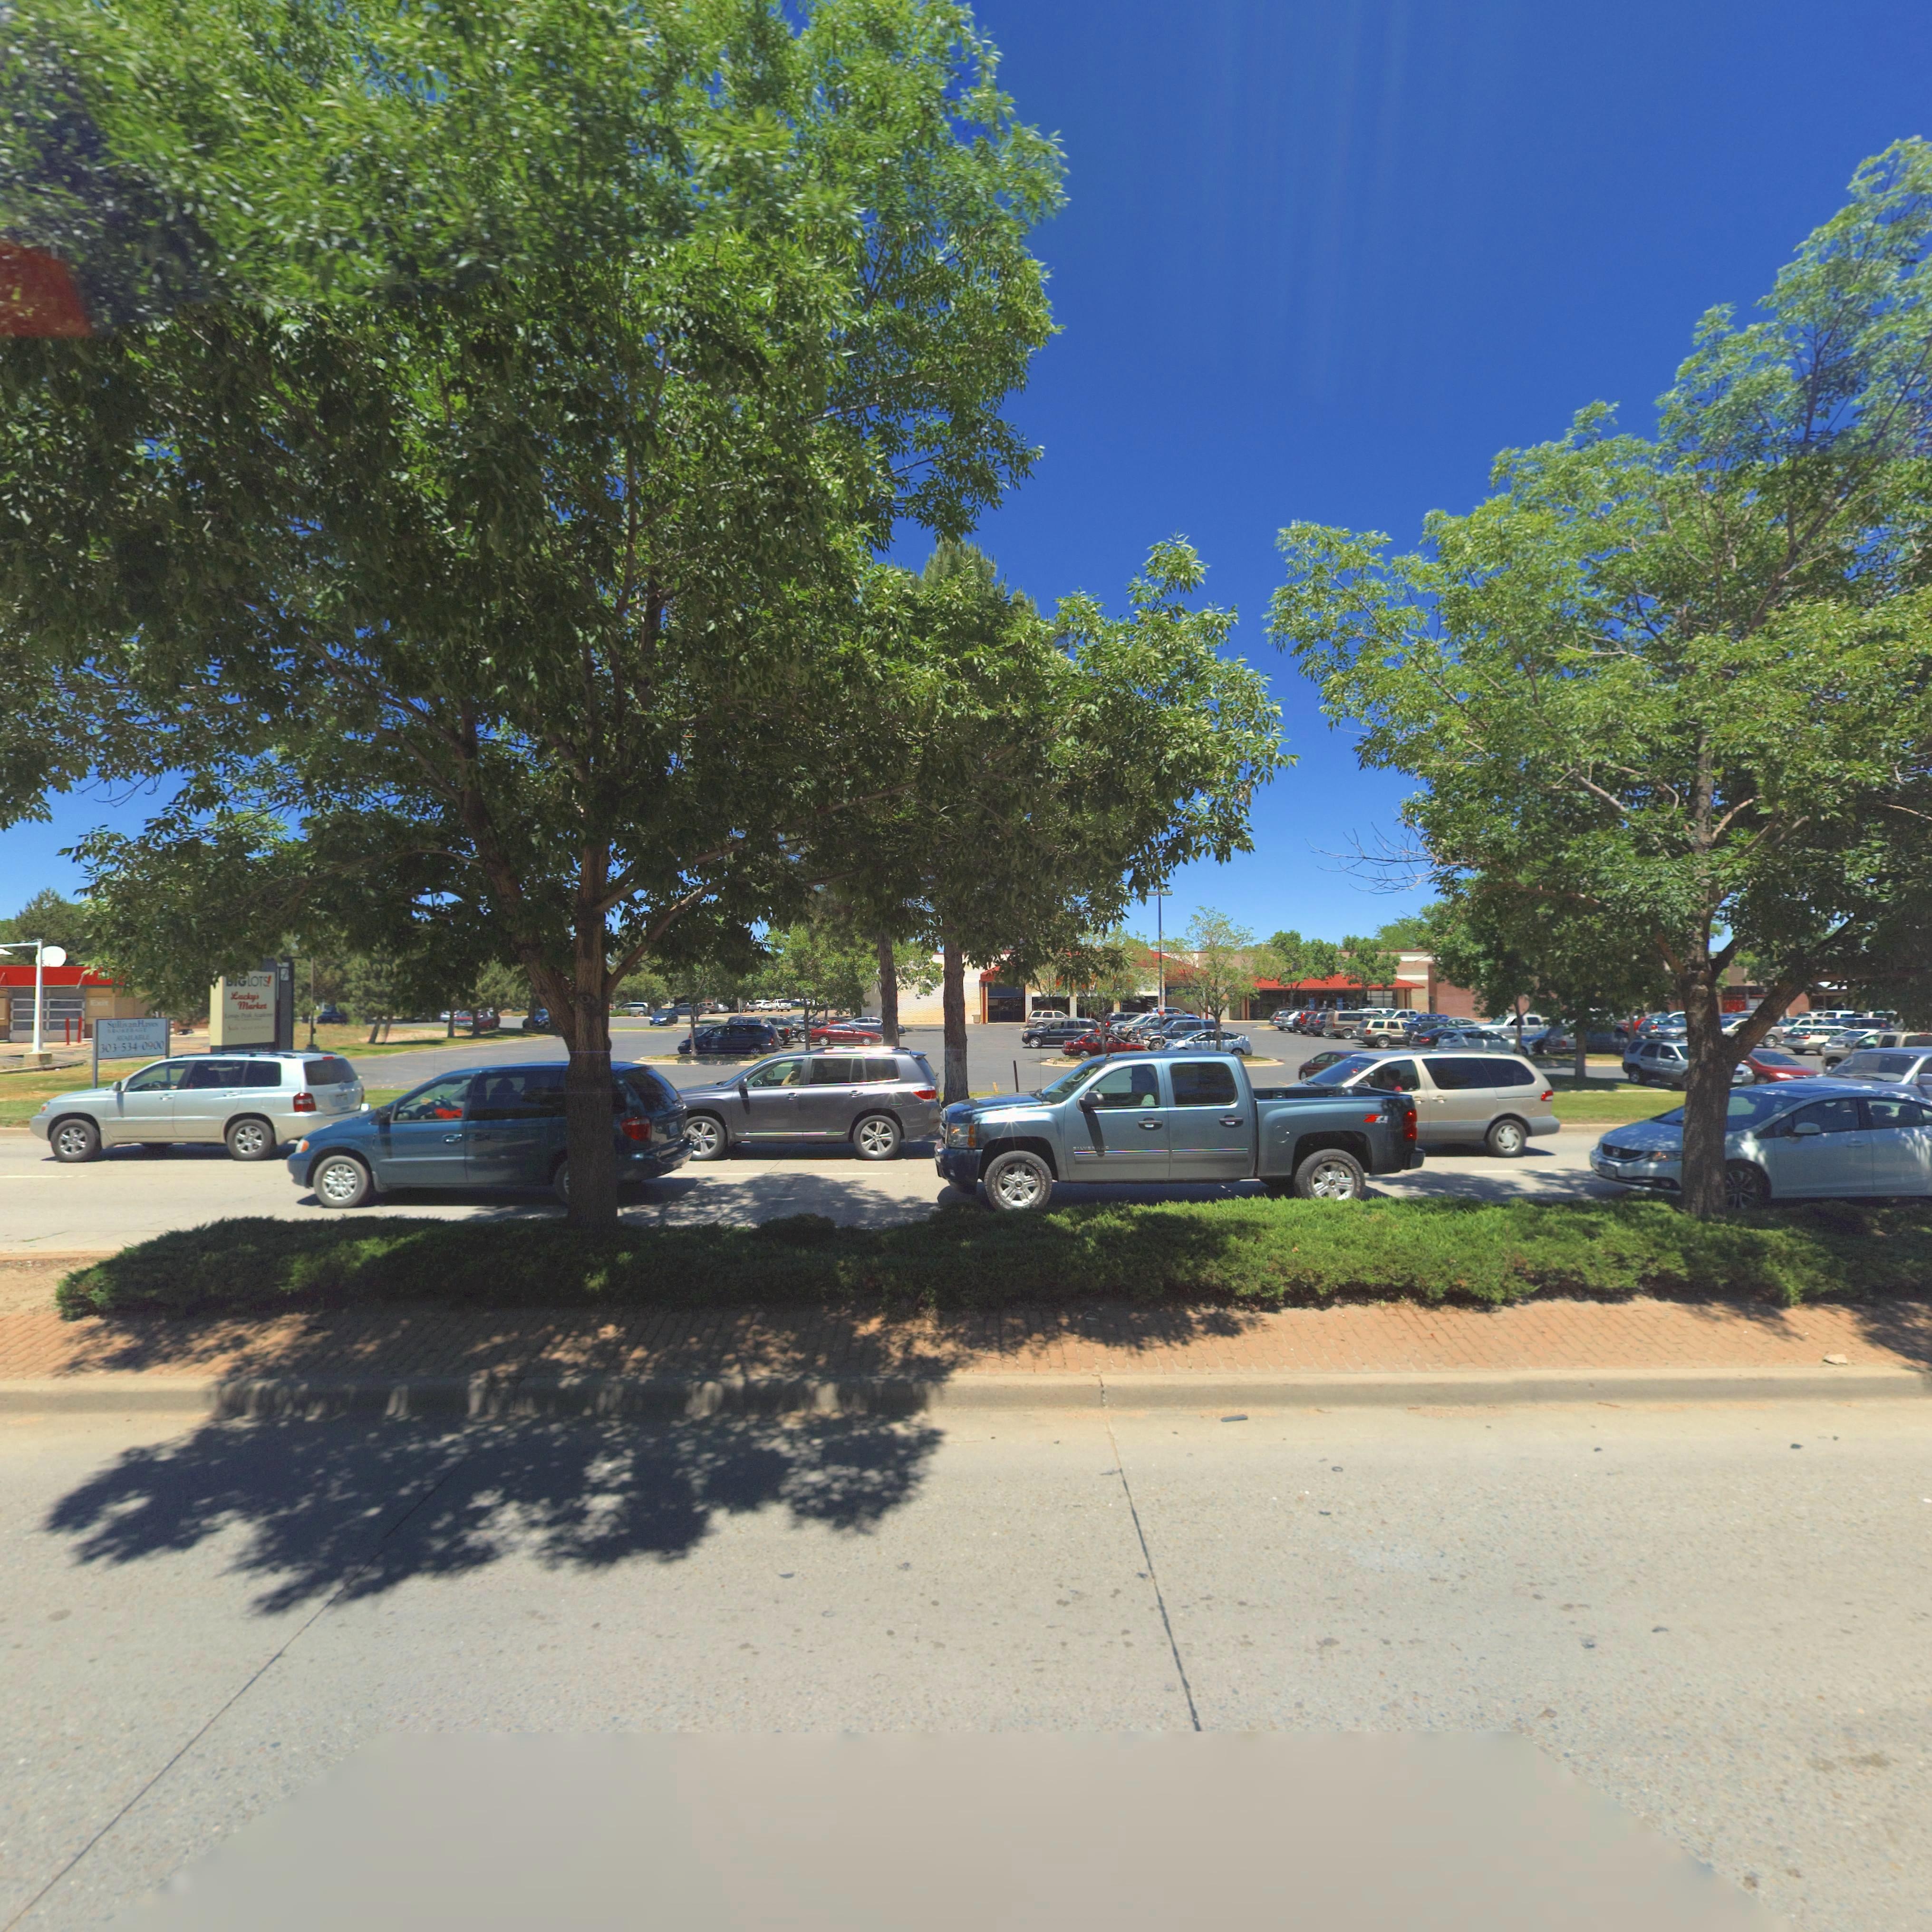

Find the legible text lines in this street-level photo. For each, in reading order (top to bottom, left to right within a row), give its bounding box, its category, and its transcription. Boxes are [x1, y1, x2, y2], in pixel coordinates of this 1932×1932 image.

[226, 974, 272, 988] BusinessName: **G LOTS!
[229, 990, 261, 1003] BusinessName: L*cky's
[237, 1000, 268, 1011] BusinessName: Market